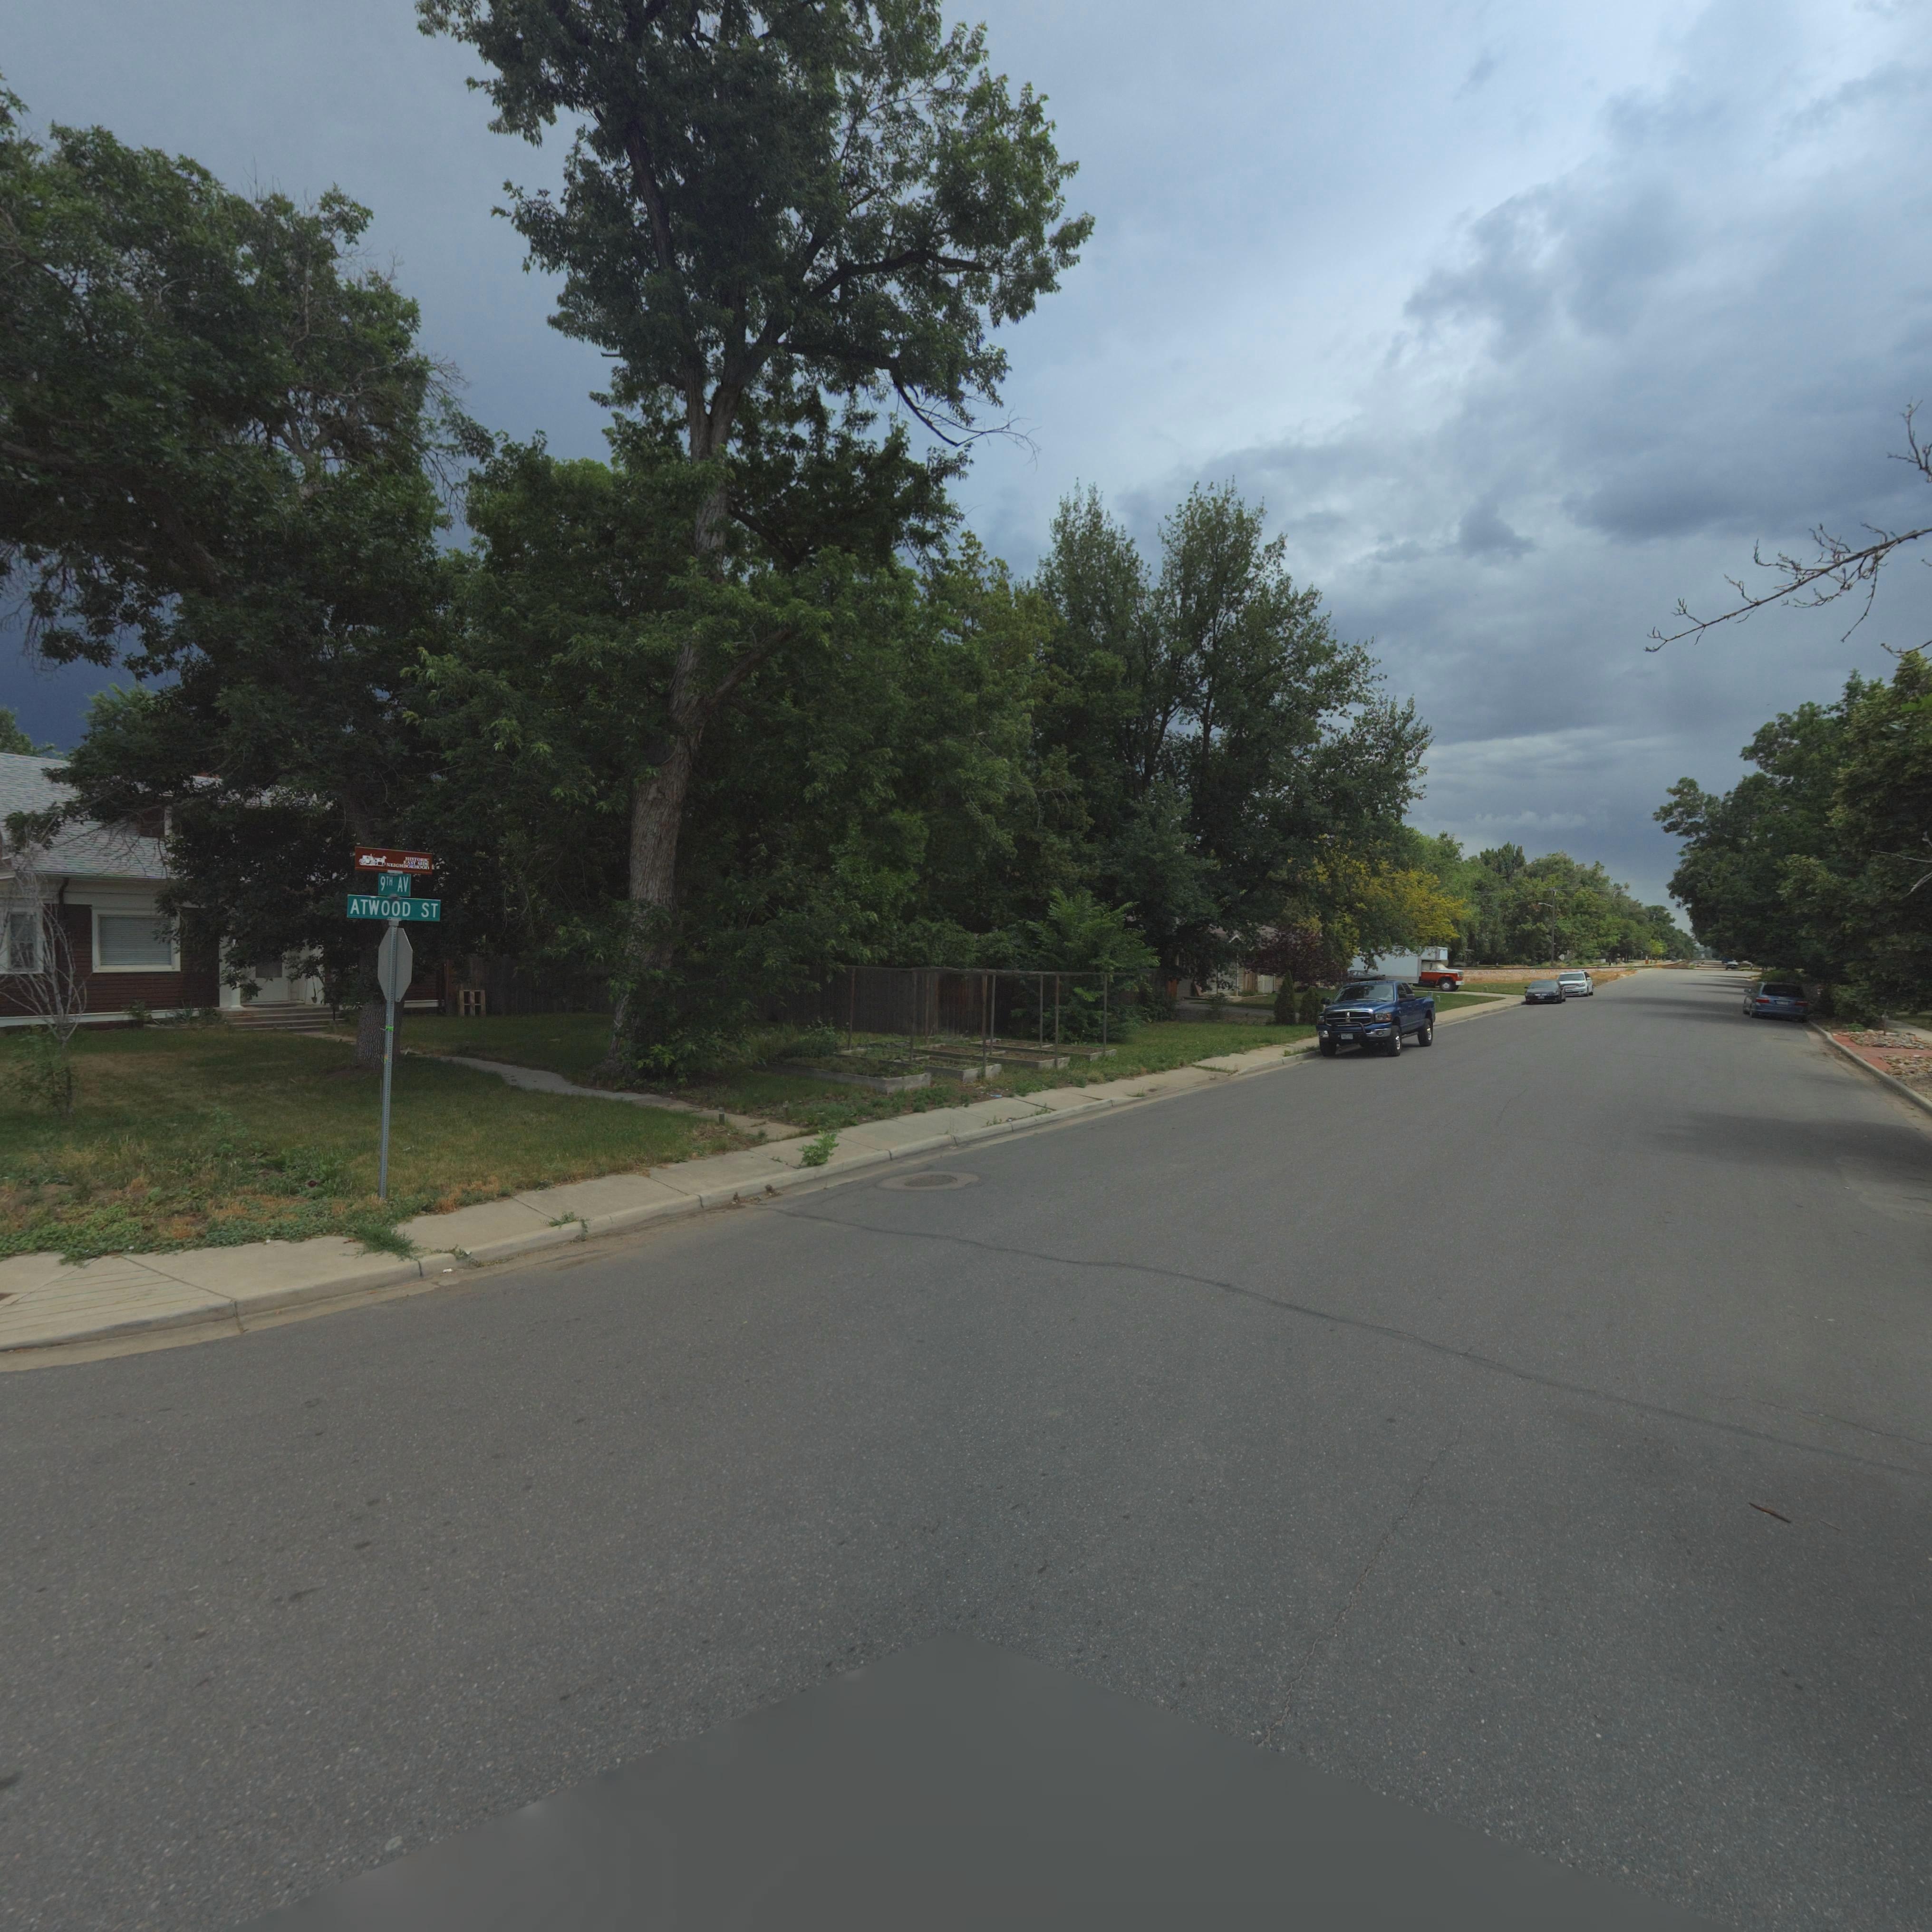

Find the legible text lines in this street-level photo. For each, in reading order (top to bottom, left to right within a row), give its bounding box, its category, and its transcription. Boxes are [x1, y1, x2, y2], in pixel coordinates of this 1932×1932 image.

[378, 875, 409, 893] StreetName: 9TH AV
[350, 899, 437, 918] StreetName: ATWOOD ST